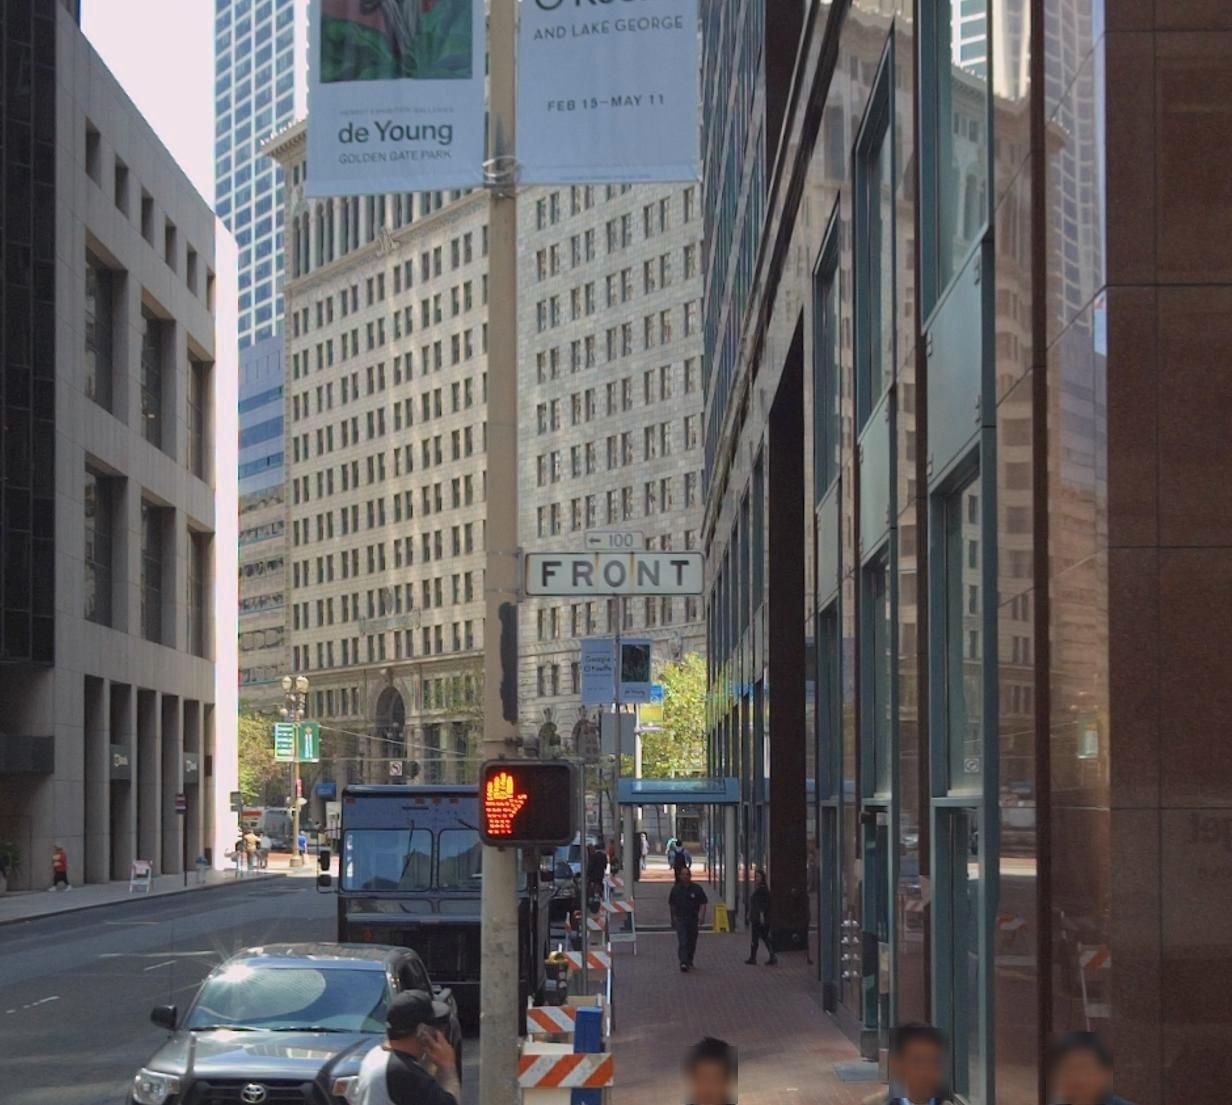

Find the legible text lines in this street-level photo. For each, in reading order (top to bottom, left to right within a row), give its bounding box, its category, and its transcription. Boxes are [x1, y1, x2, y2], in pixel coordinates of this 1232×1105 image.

[531, 12, 686, 42] None: AND LAKE GEORGE
[544, 91, 666, 114] None: FEB 15-MAY 11
[337, 118, 456, 147] None: de Young
[338, 147, 453, 164] None: GOLDEN GATE PARK
[587, 532, 636, 549] StreetNumberRange: <-100
[539, 555, 691, 589] StreetName: FRONT